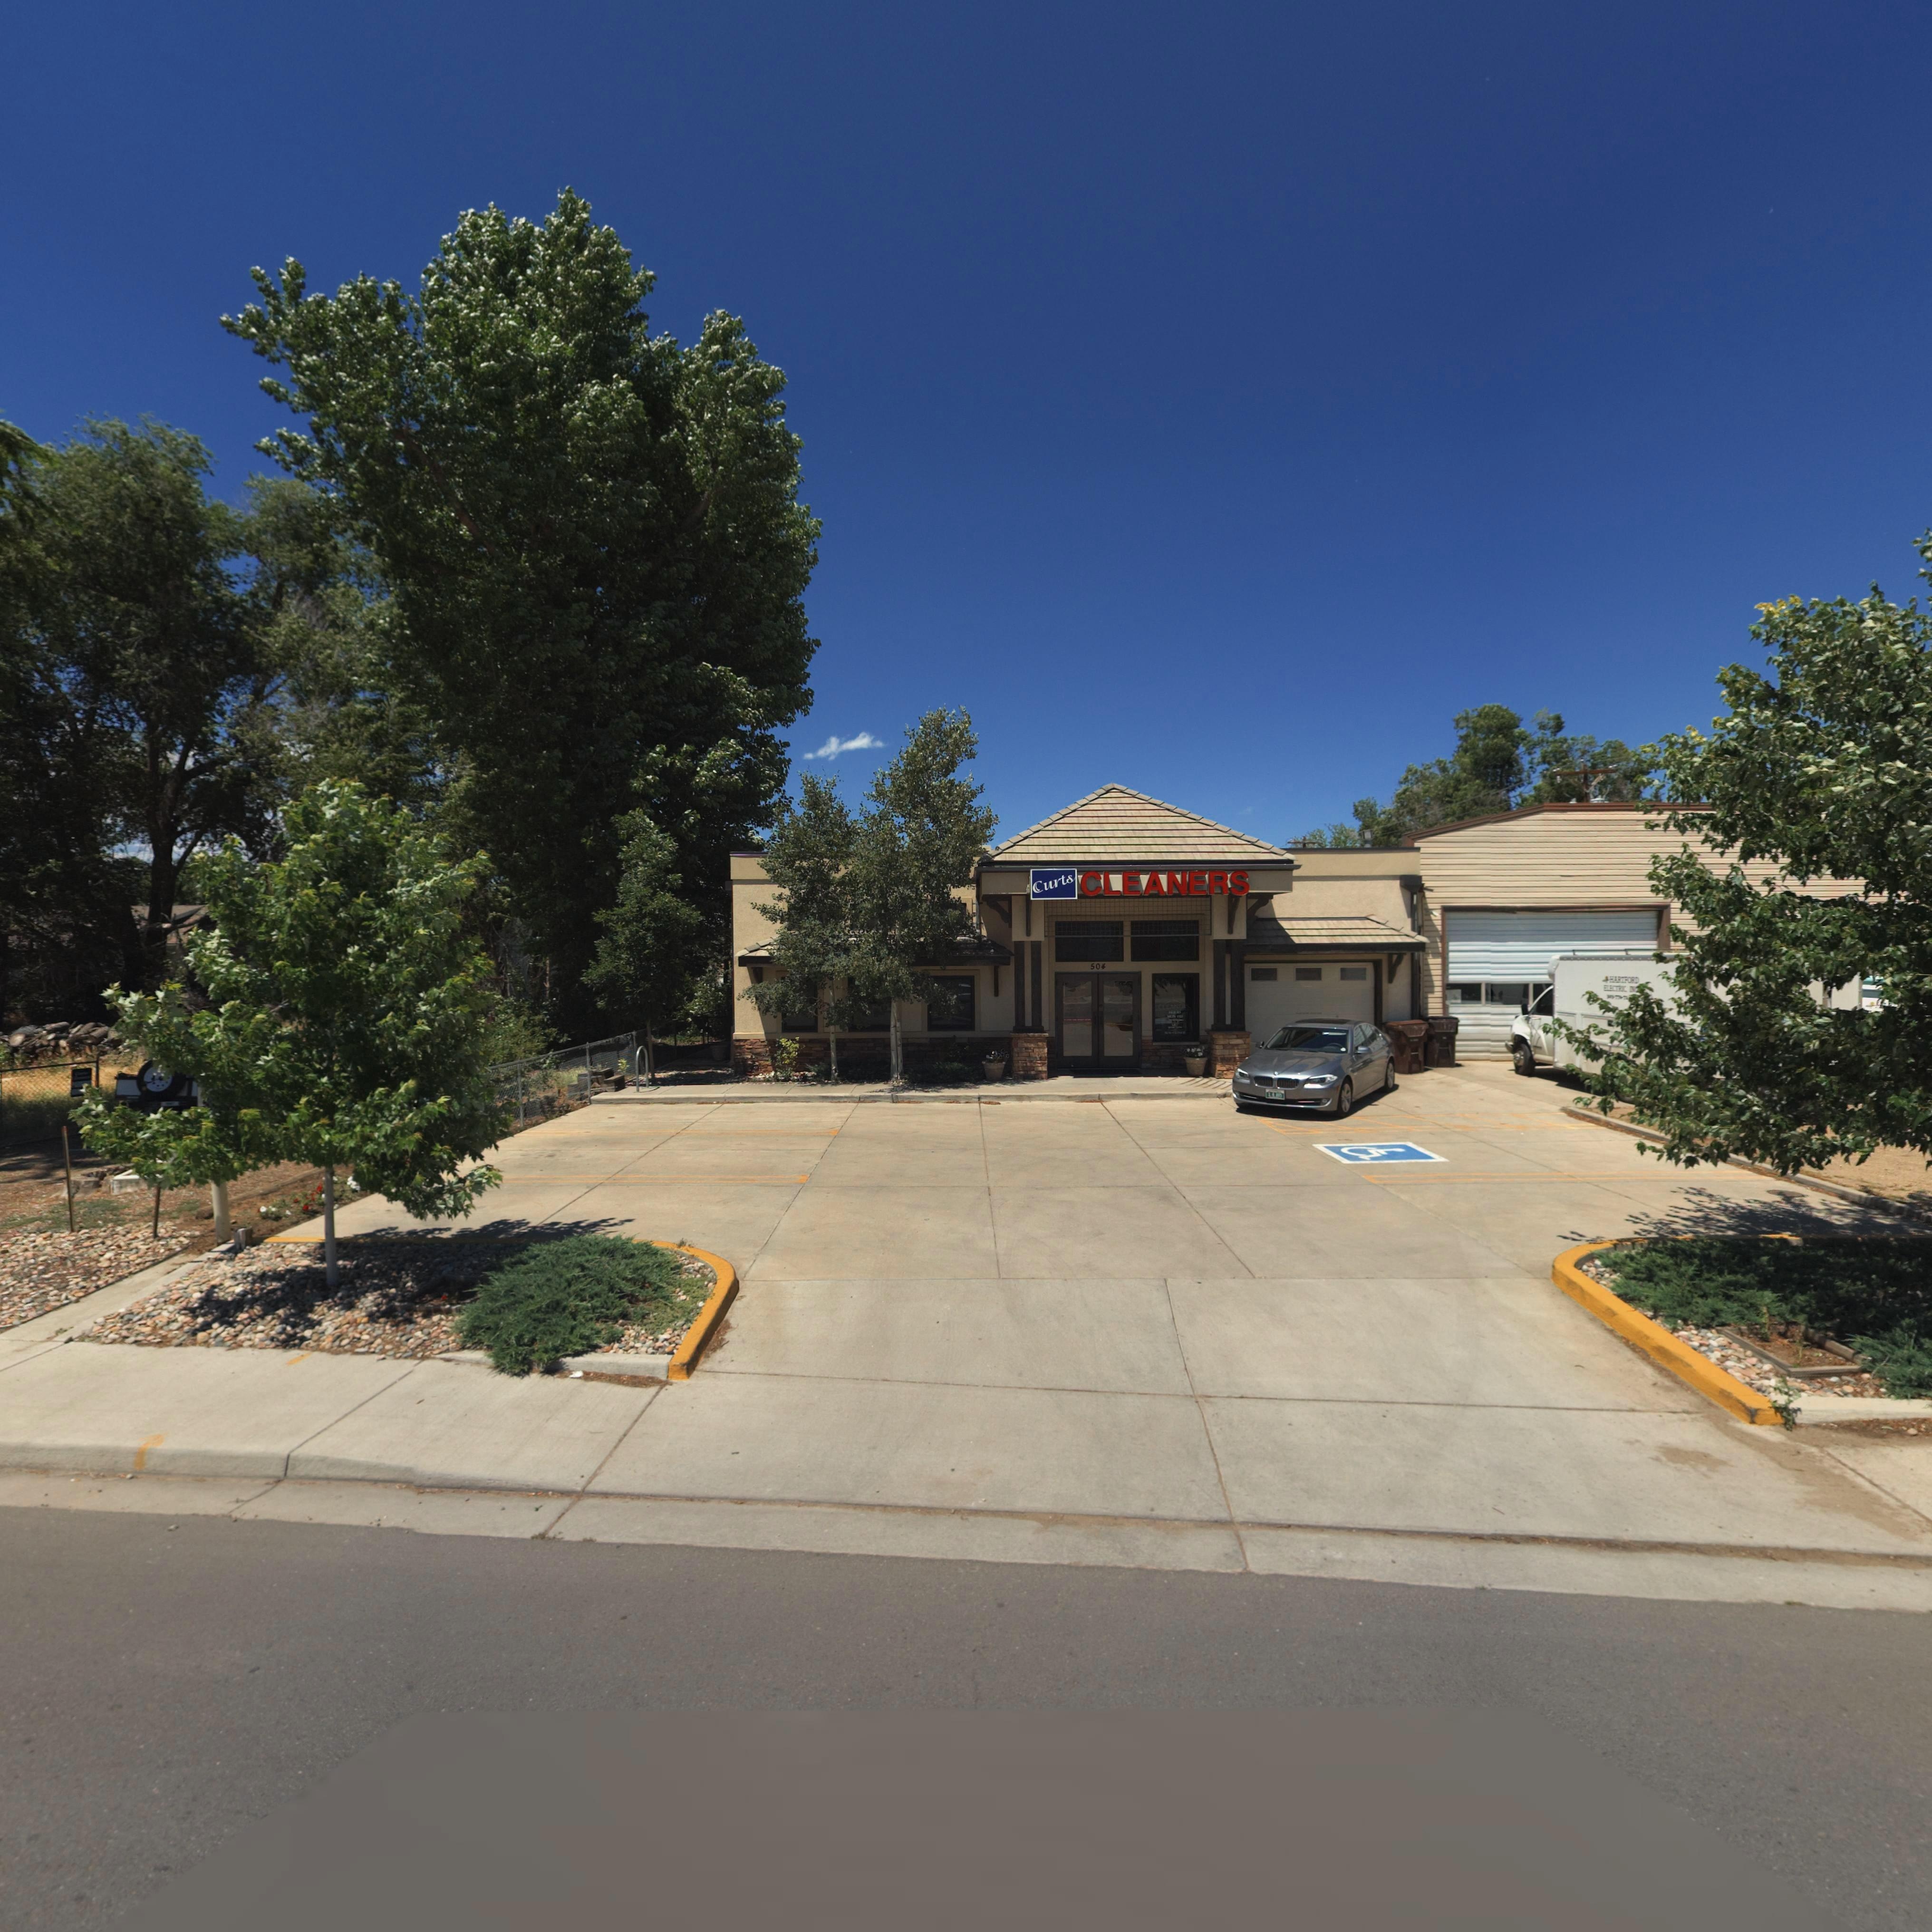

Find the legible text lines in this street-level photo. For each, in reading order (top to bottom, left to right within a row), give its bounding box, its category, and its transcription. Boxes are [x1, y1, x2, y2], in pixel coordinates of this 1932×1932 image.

[1032, 873, 1073, 893] BusinessName: Curts
[1080, 869, 1250, 896] BusinessName: CLEANERS
[1090, 962, 1106, 970] StreetNumber: 504